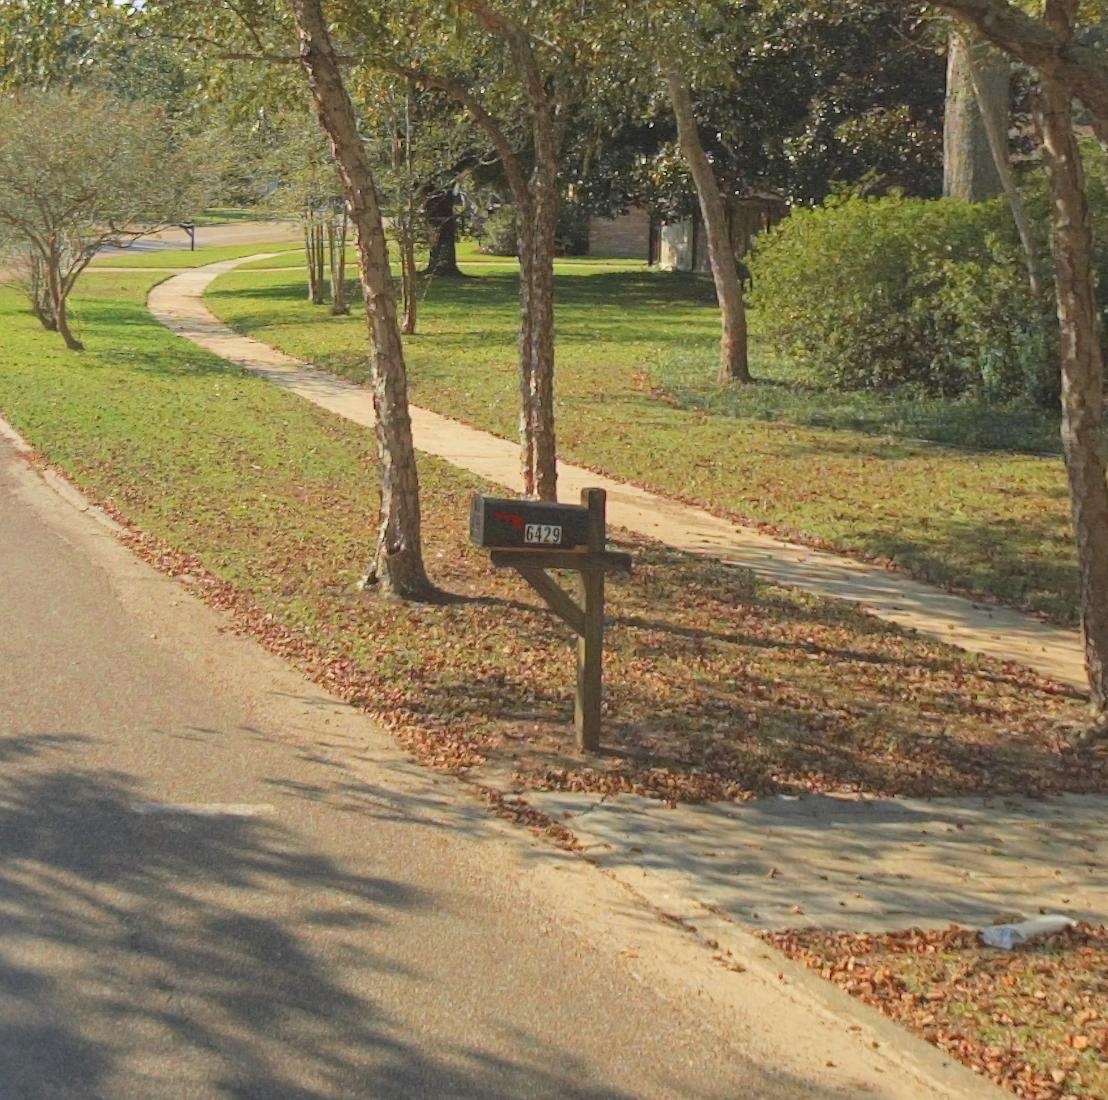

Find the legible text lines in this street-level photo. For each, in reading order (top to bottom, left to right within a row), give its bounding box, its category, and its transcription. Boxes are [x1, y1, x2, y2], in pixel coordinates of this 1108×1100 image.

[526, 524, 560, 544] StreetNumber: 6429